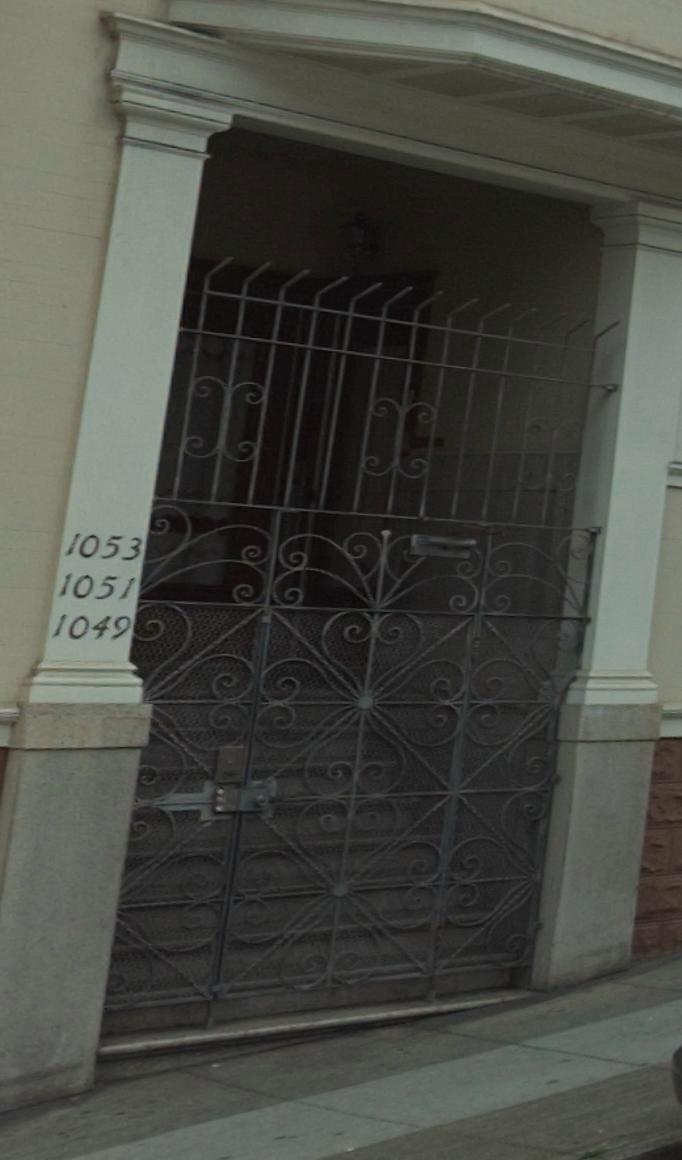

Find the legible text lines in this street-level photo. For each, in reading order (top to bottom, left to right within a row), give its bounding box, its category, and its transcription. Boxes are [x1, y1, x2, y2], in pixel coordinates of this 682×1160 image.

[59, 526, 152, 568] StreetNumber: 1053
[53, 568, 145, 607] StreetNumber: 1051
[46, 609, 137, 648] StreetNumber: 1049